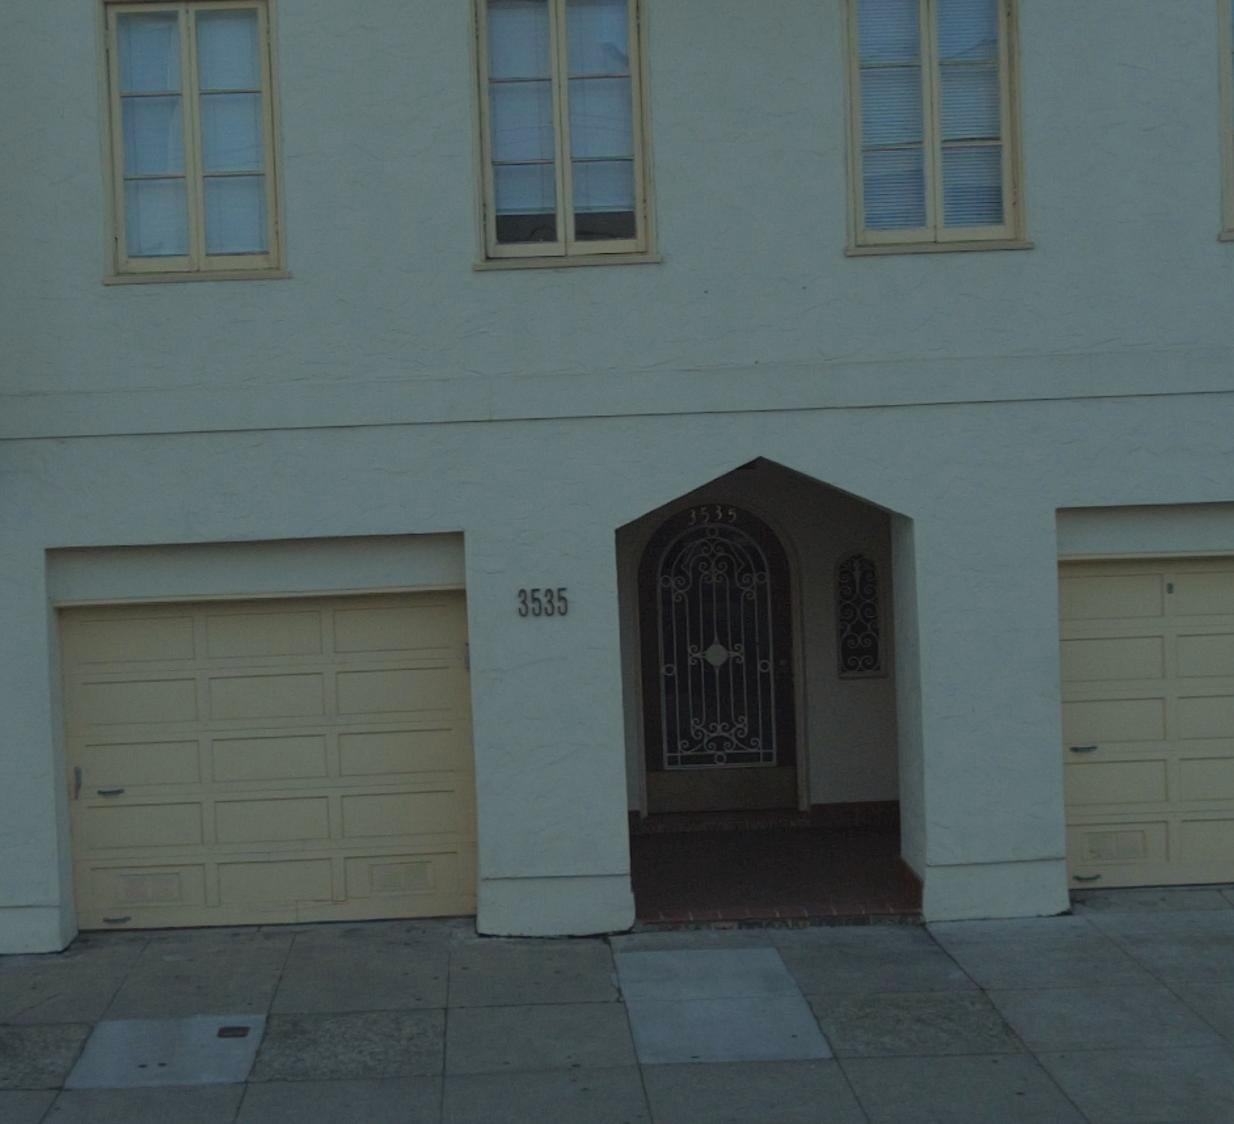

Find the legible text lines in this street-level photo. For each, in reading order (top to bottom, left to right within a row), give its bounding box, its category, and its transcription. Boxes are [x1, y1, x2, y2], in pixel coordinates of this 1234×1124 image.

[686, 502, 739, 528] StreetNumber: 3535
[515, 584, 570, 620] StreetNumber: 3535